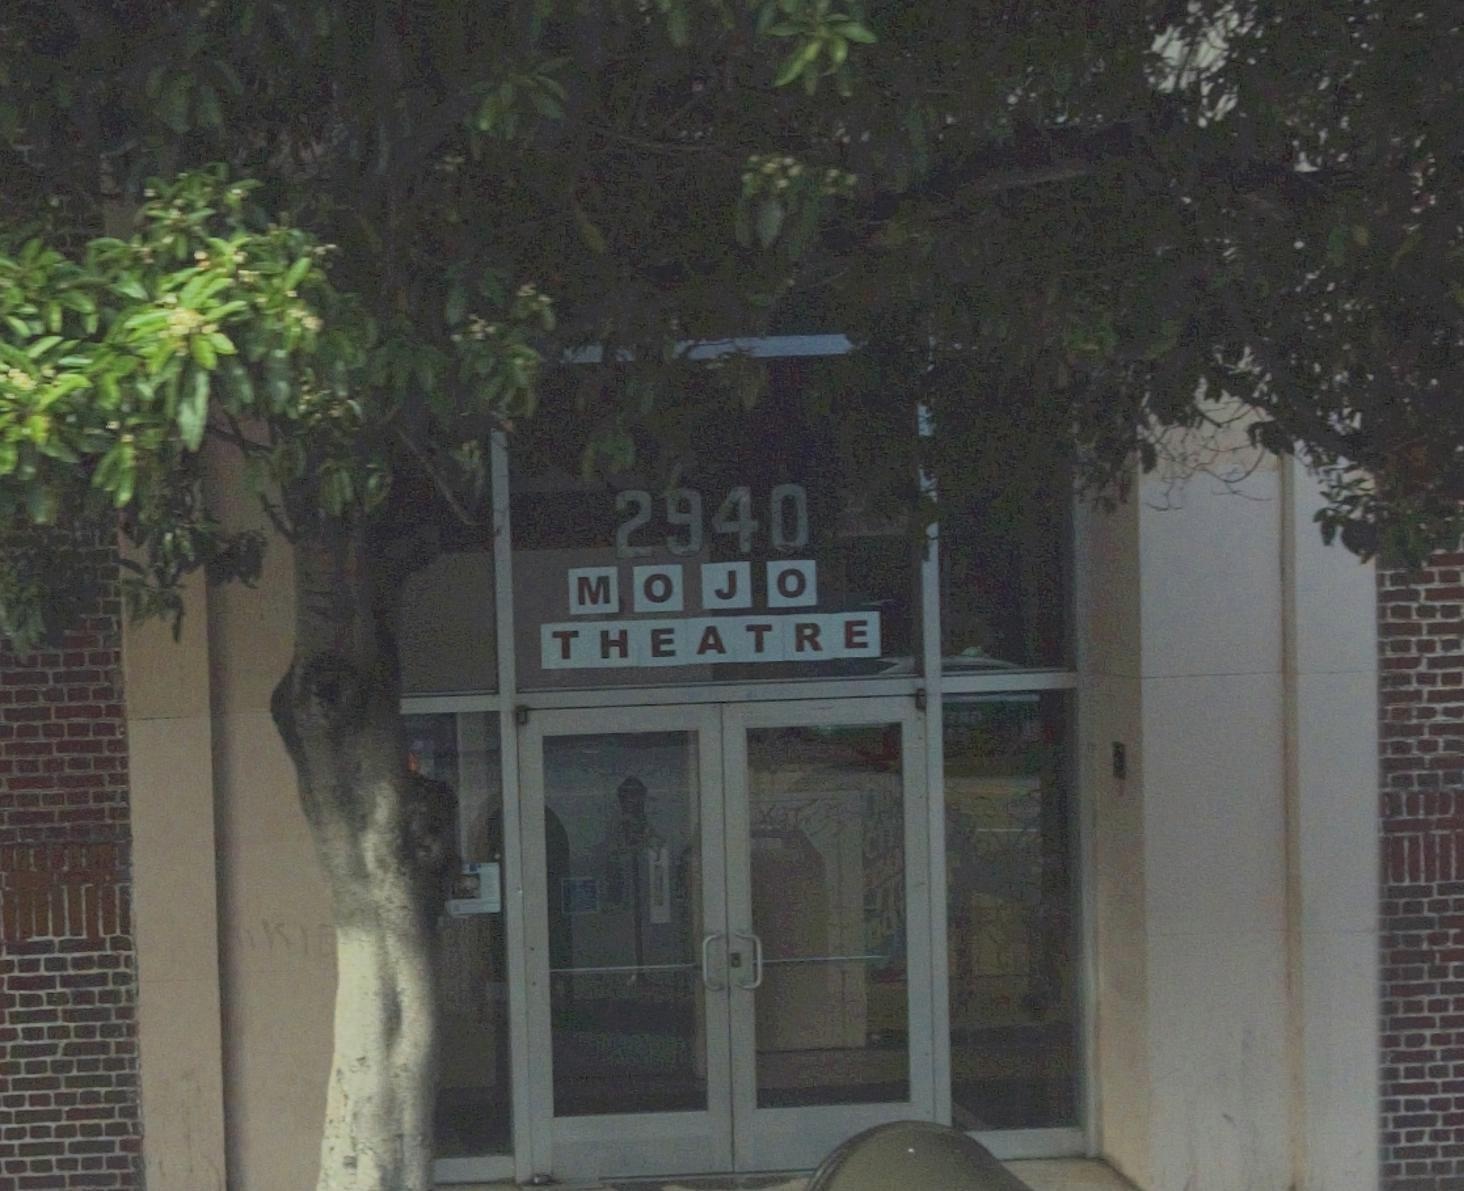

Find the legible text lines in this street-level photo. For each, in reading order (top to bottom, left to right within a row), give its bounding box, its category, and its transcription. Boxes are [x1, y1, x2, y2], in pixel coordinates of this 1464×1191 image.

[605, 476, 817, 566] StreetNumber: 2940
[573, 564, 811, 610] BusinessName: MOJO
[547, 615, 875, 665] BusinessName: THEATRE